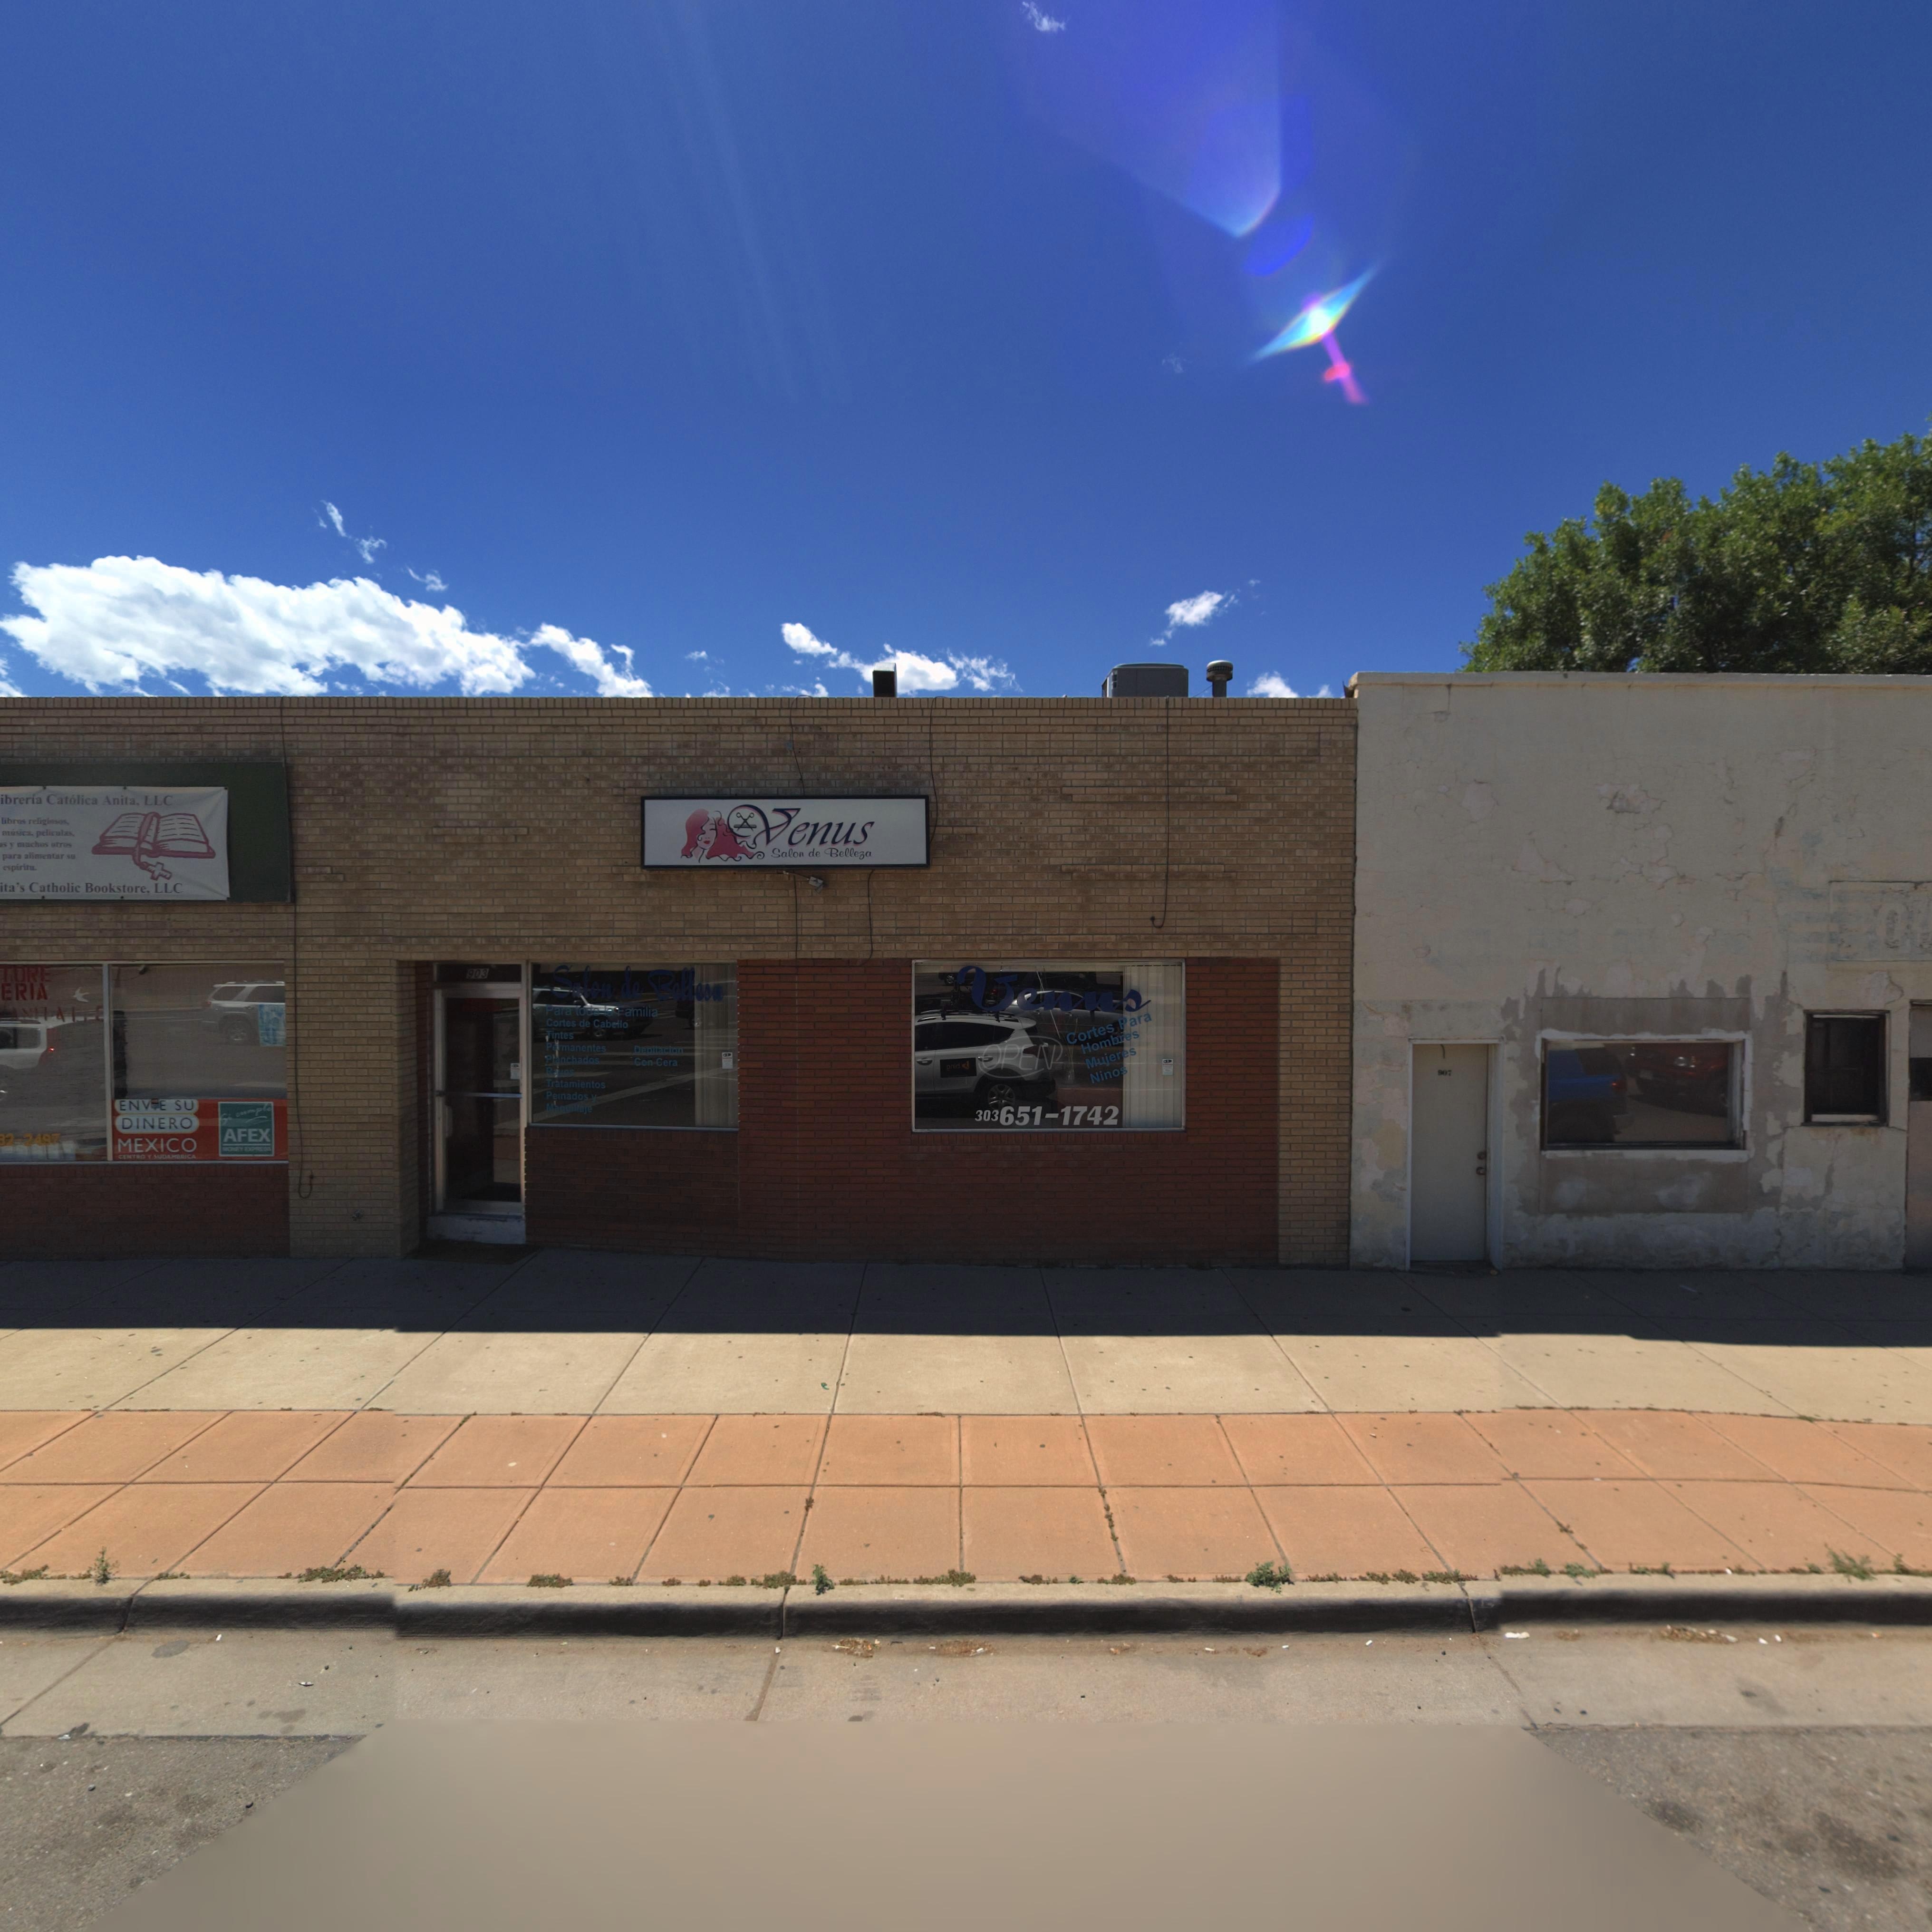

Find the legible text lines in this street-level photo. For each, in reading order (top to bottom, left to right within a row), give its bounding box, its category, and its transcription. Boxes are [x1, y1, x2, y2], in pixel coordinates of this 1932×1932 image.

[0, 793, 173, 806] BusinessName: ibreria Cat*lica Anita, LLC
[742, 803, 877, 847] BusinessName: *enus
[770, 846, 873, 860] BusinessName: Salon de Be**e*a
[3, 881, 184, 894] BusinessName: ta's Catholic Bookstore, LLC
[1, 981, 49, 1001] BusinessName: ERIA
[0, 964, 51, 983] BusinessName: TORE
[466, 968, 488, 978] StreetNumber: 903
[548, 963, 726, 1002] BusinessName: Salon de Belle*a
[953, 963, 1152, 1014] BusinessName: *enn*
[0, 1004, 104, 1023] BusinessName: ANITA LL*
[1437, 1069, 1452, 1076] StreetNumber: 907